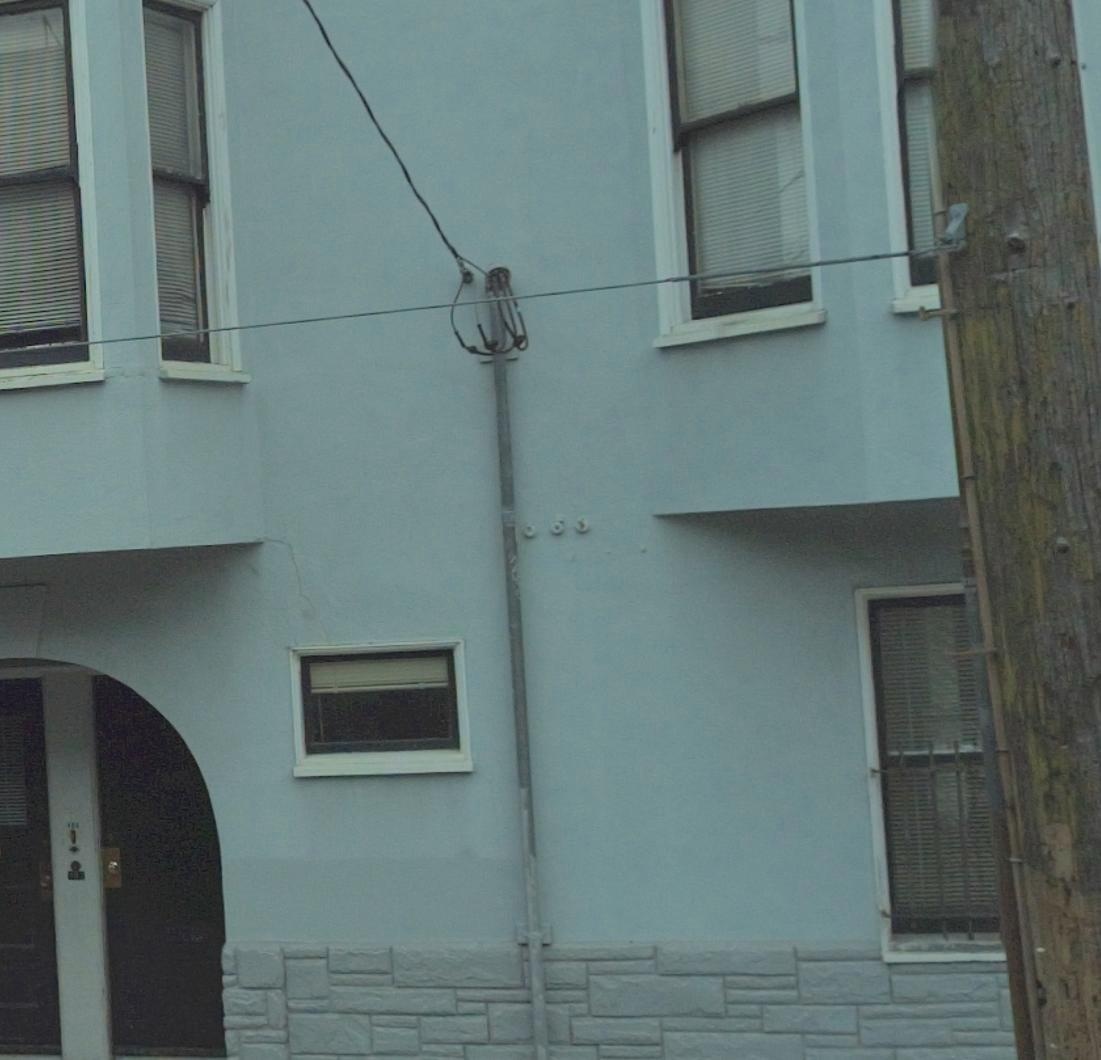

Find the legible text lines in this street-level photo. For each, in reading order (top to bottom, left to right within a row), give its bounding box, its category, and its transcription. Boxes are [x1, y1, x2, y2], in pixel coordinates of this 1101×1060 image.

[522, 513, 592, 538] StreetNumber: 663